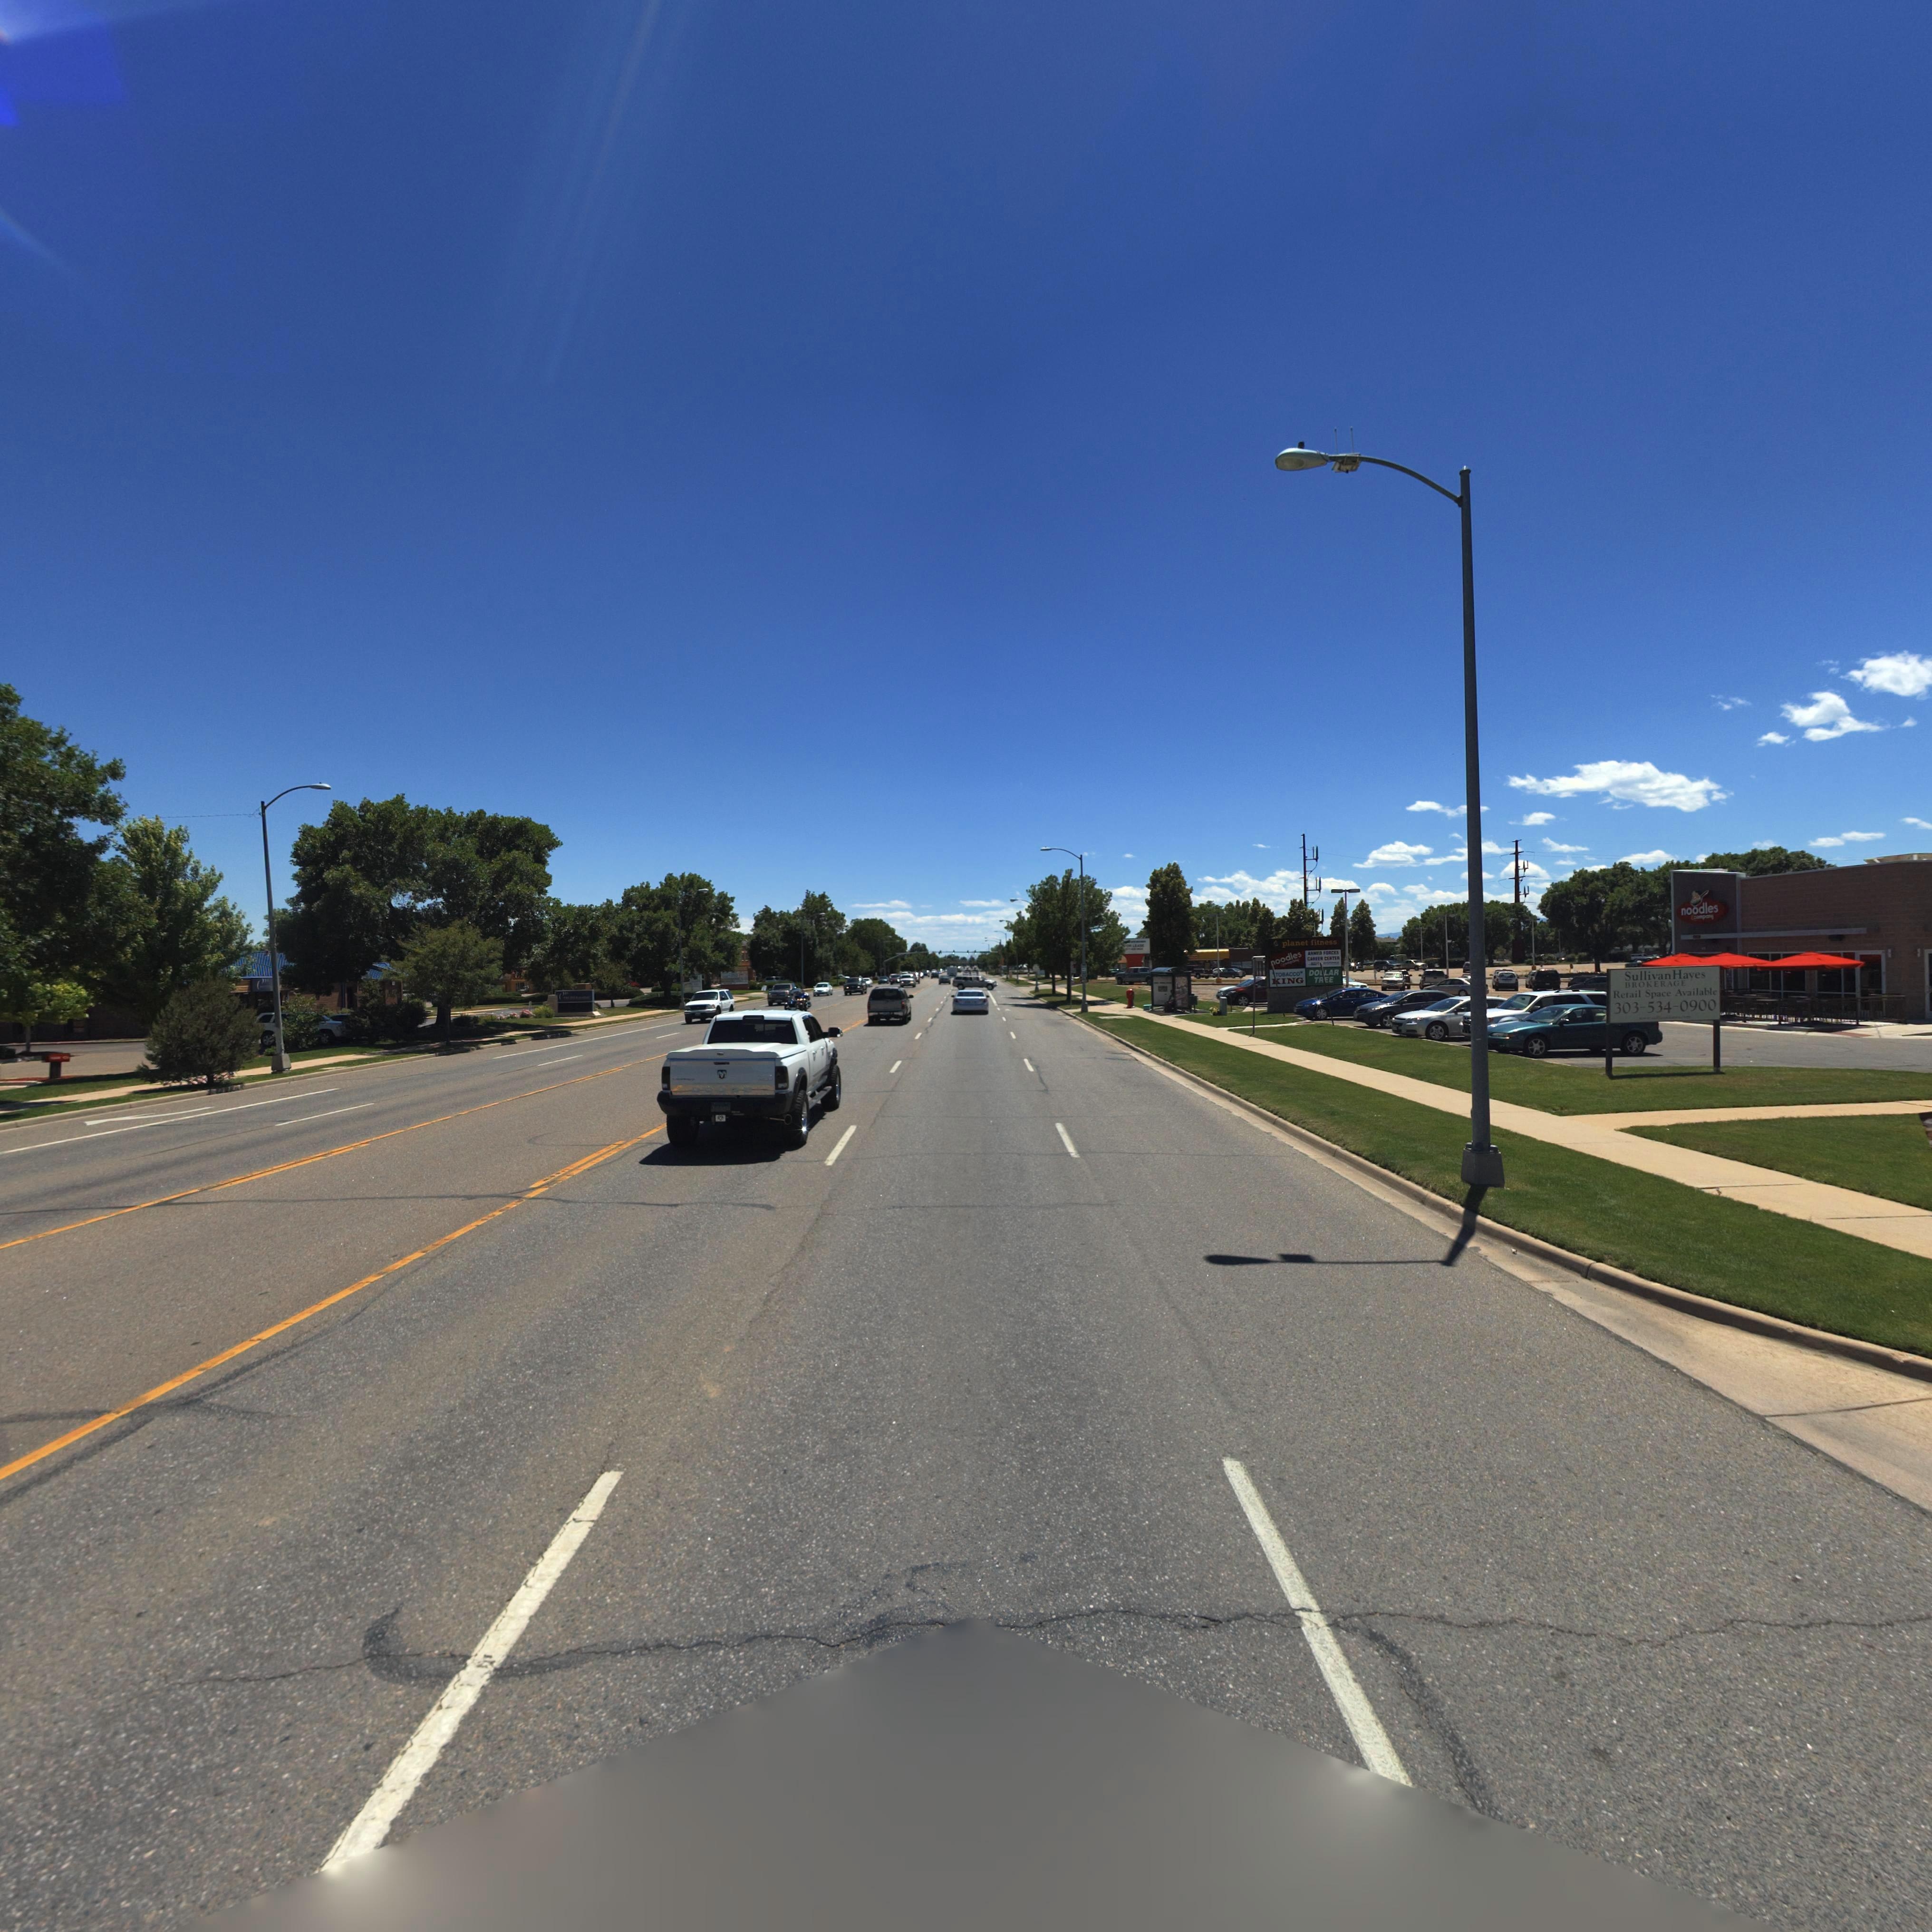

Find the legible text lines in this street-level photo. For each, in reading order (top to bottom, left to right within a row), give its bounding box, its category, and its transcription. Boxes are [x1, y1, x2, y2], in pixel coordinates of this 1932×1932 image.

[1681, 902, 1718, 915] BusinessName: noodles
[1282, 939, 1337, 948] BusinessName: planet fitness
[1270, 951, 1302, 966] BusinessName: *oodles
[1307, 956, 1340, 960] BusinessName: C***ER  C*NTER
[1275, 972, 1300, 976] BusinessName: TOBACCO
[1308, 969, 1339, 976] BusinessName: DO*LAR
[1272, 977, 1303, 984] BusinessName: *ING
[1314, 976, 1334, 983] BusinessName: TREE